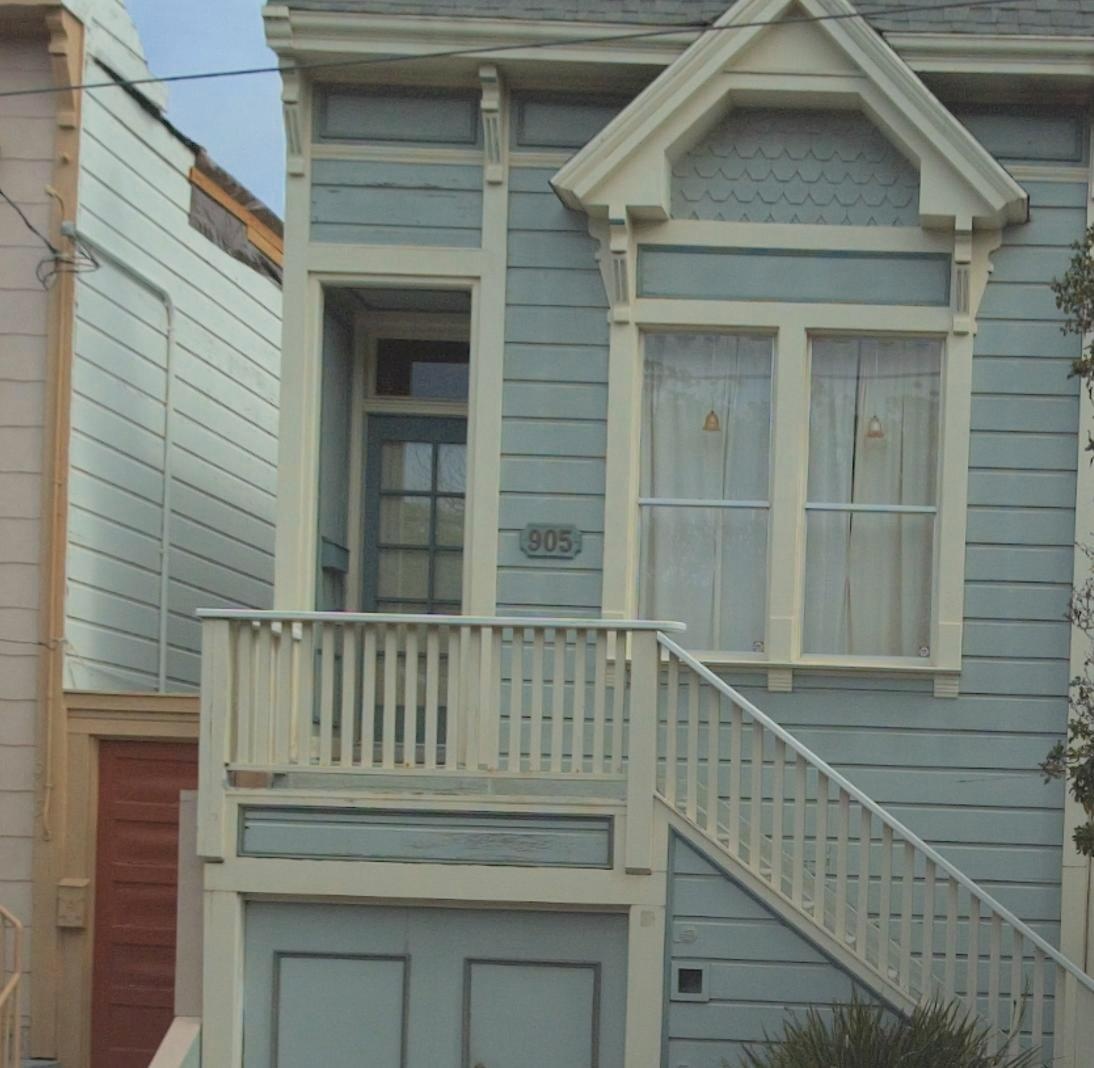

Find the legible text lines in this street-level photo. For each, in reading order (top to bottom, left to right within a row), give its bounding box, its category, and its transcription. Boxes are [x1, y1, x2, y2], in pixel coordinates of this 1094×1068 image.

[526, 527, 574, 554] StreetNumber: 905